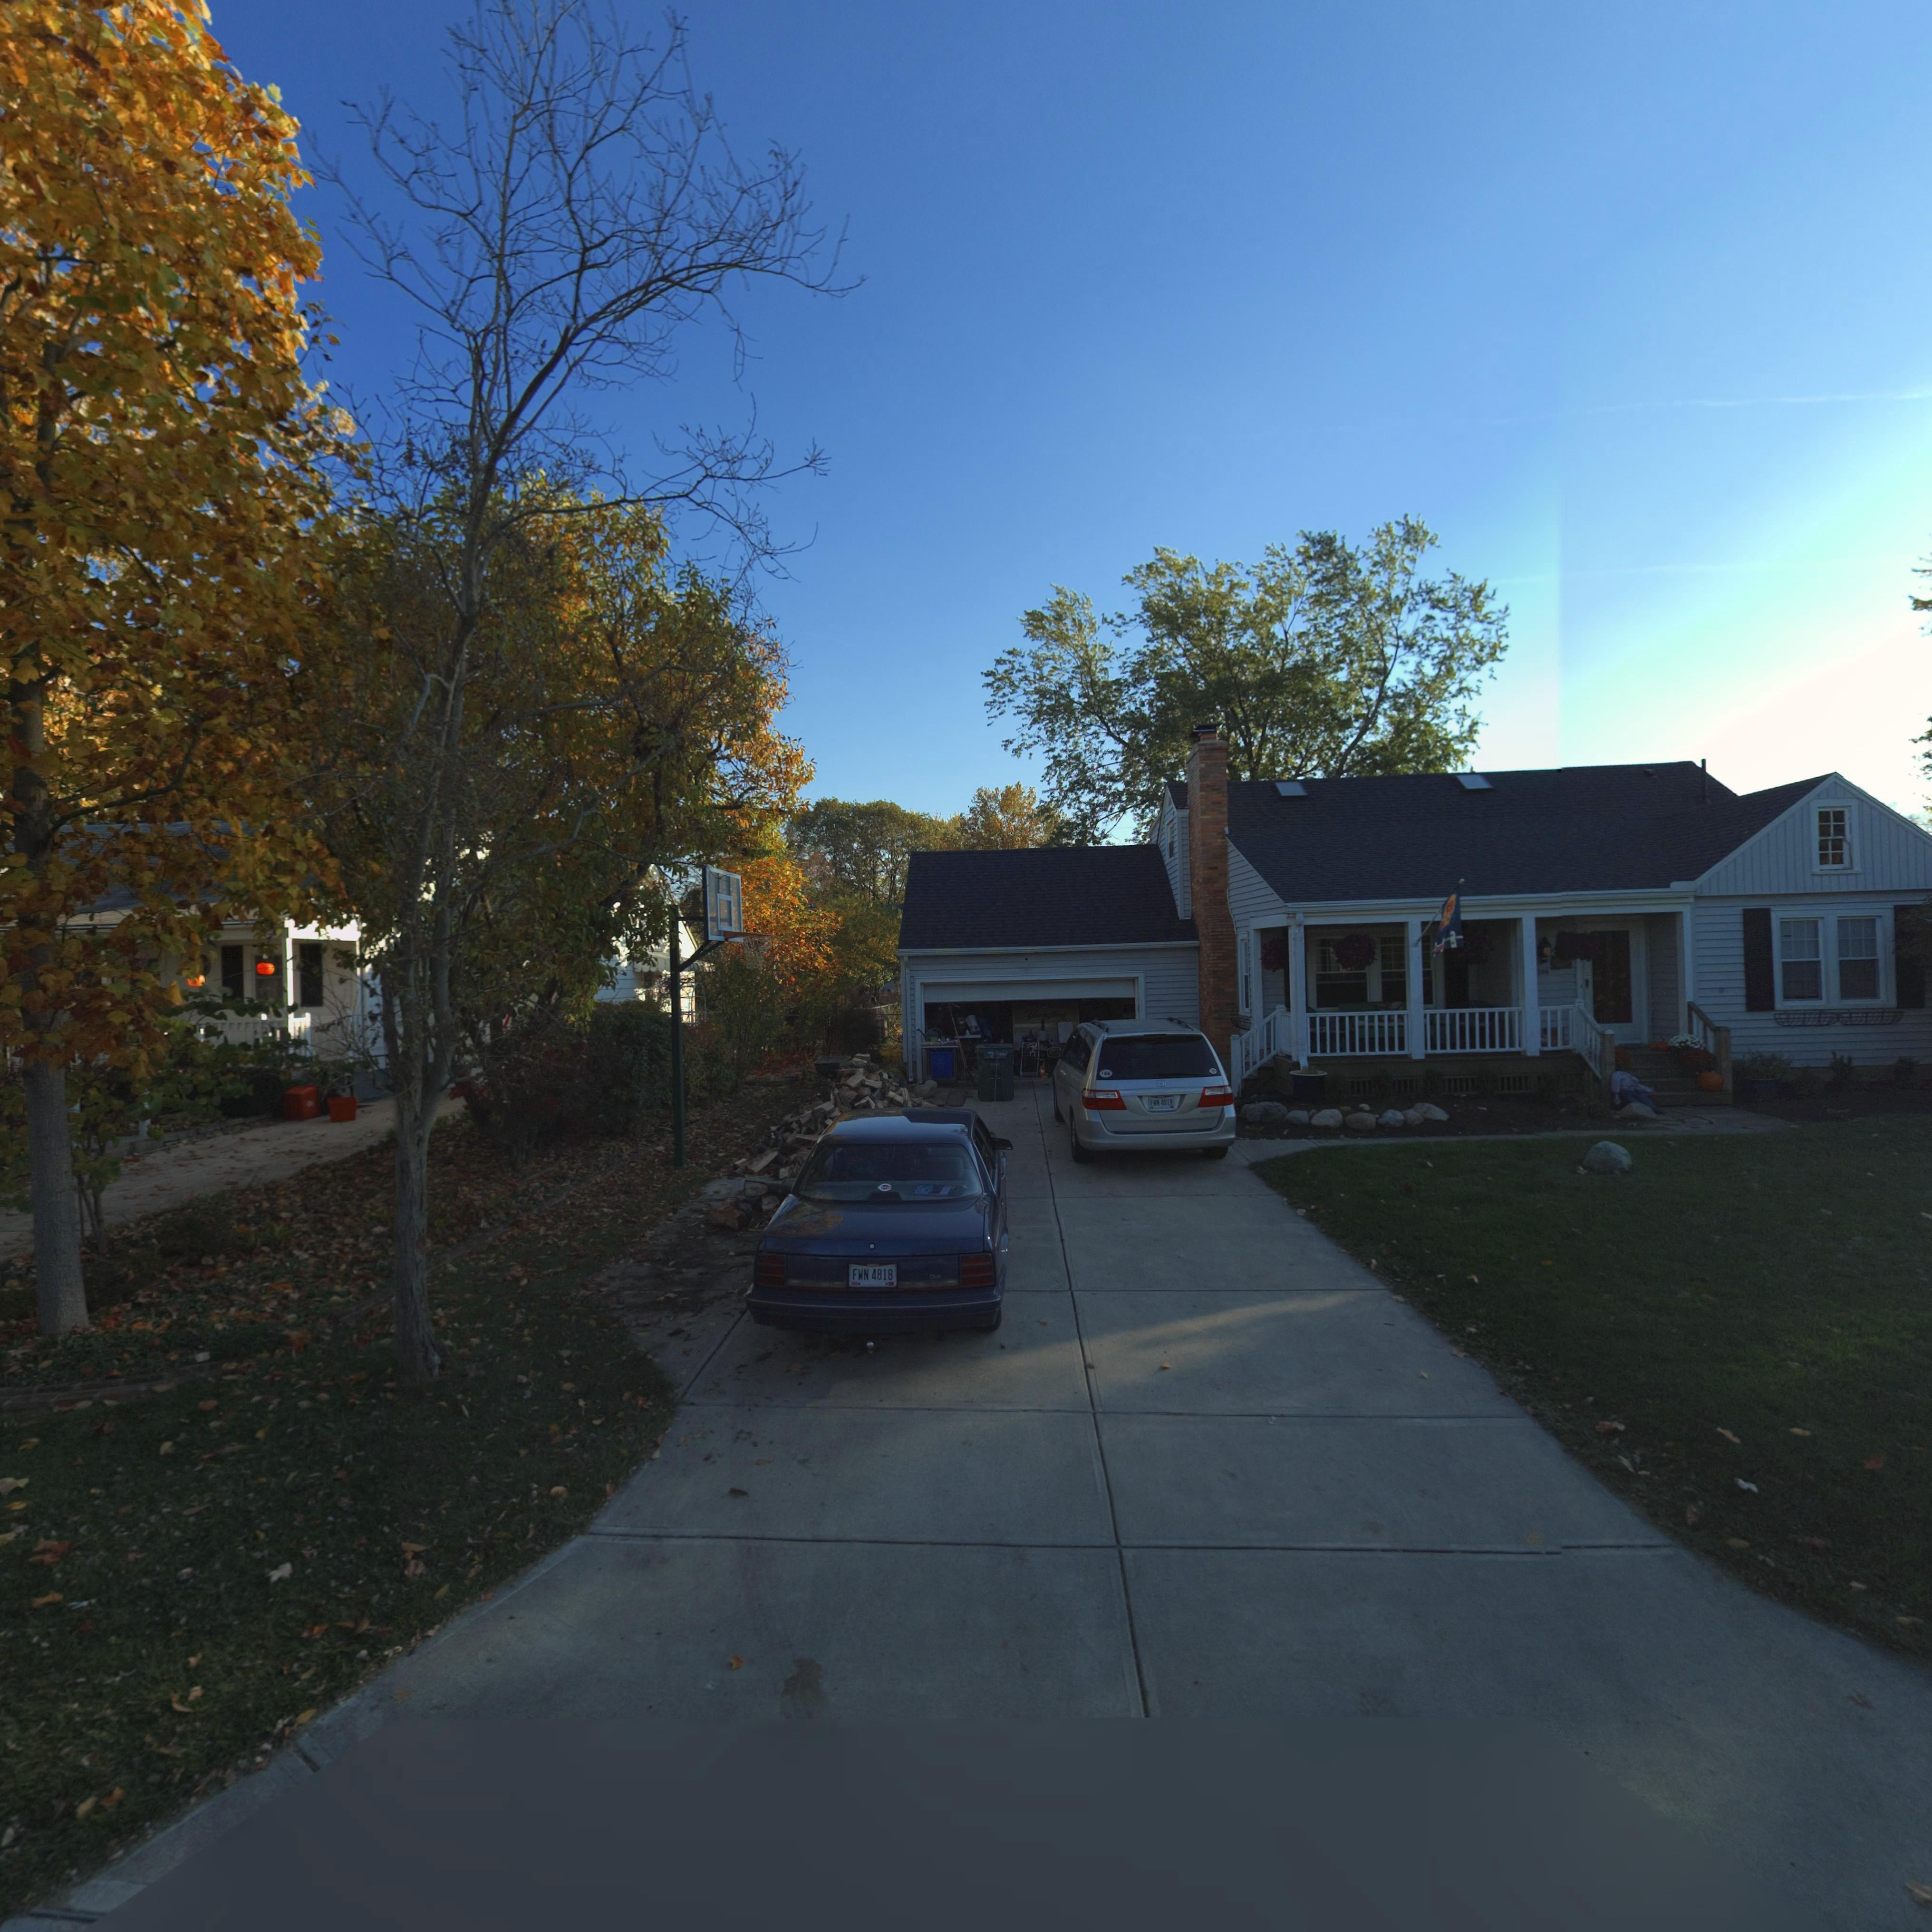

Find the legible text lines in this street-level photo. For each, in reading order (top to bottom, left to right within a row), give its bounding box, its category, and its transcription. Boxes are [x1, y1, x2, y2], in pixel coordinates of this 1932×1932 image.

[1536, 968, 1549, 975] StreetNumber: 2**